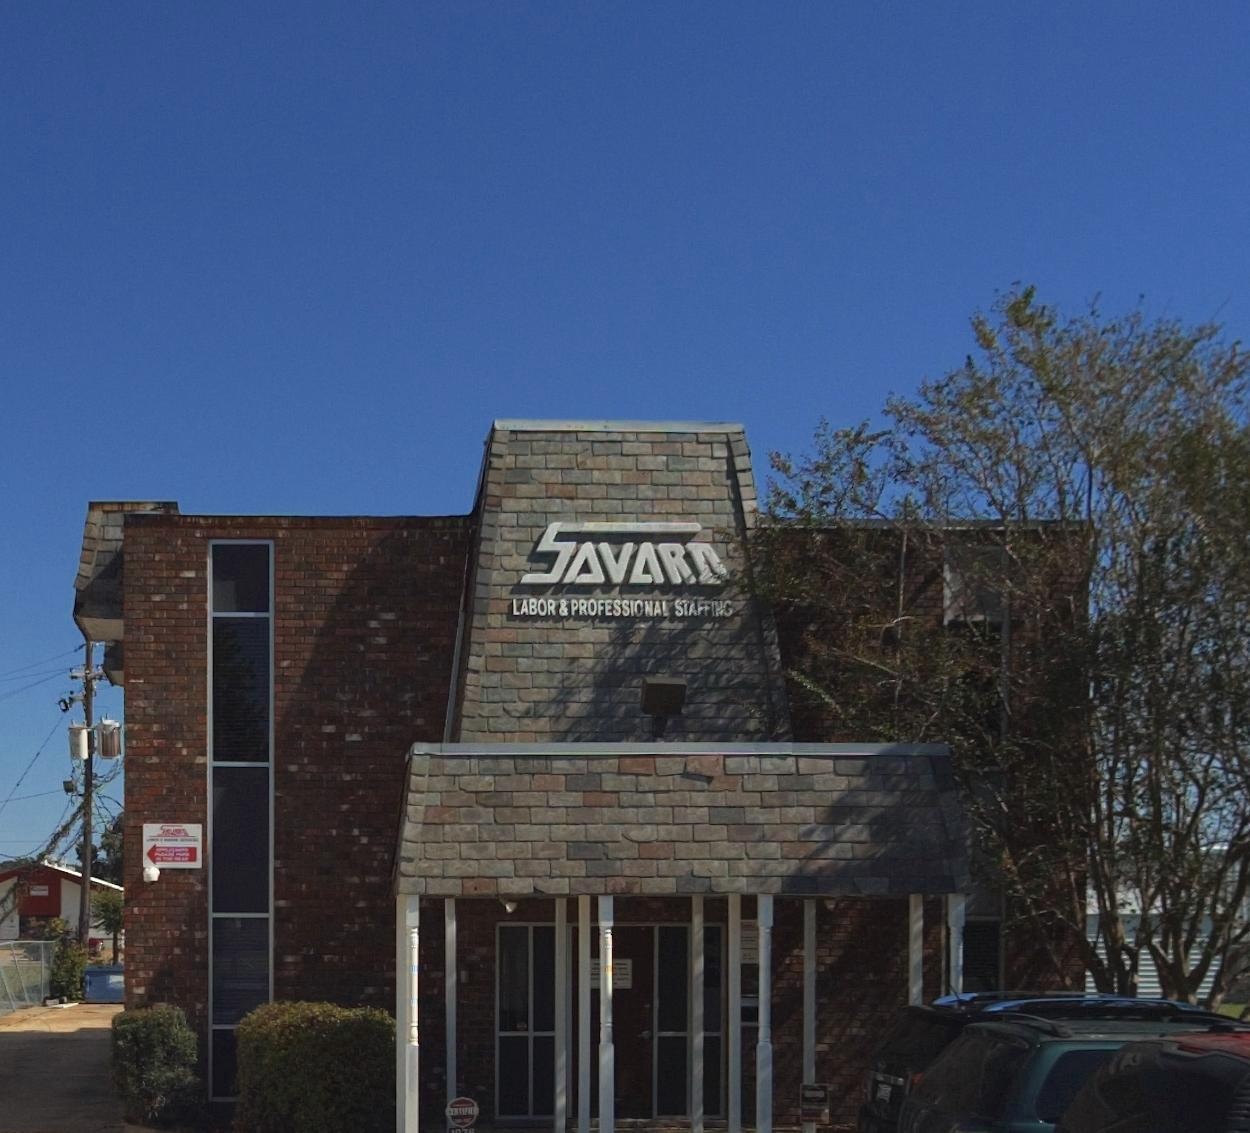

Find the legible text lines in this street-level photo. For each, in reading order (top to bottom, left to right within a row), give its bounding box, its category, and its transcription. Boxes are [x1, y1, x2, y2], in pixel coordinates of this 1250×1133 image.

[515, 520, 738, 586] BusinessName: SAVARD
[511, 597, 736, 619] None: LABOR & PROFESSIONAL STAFFING